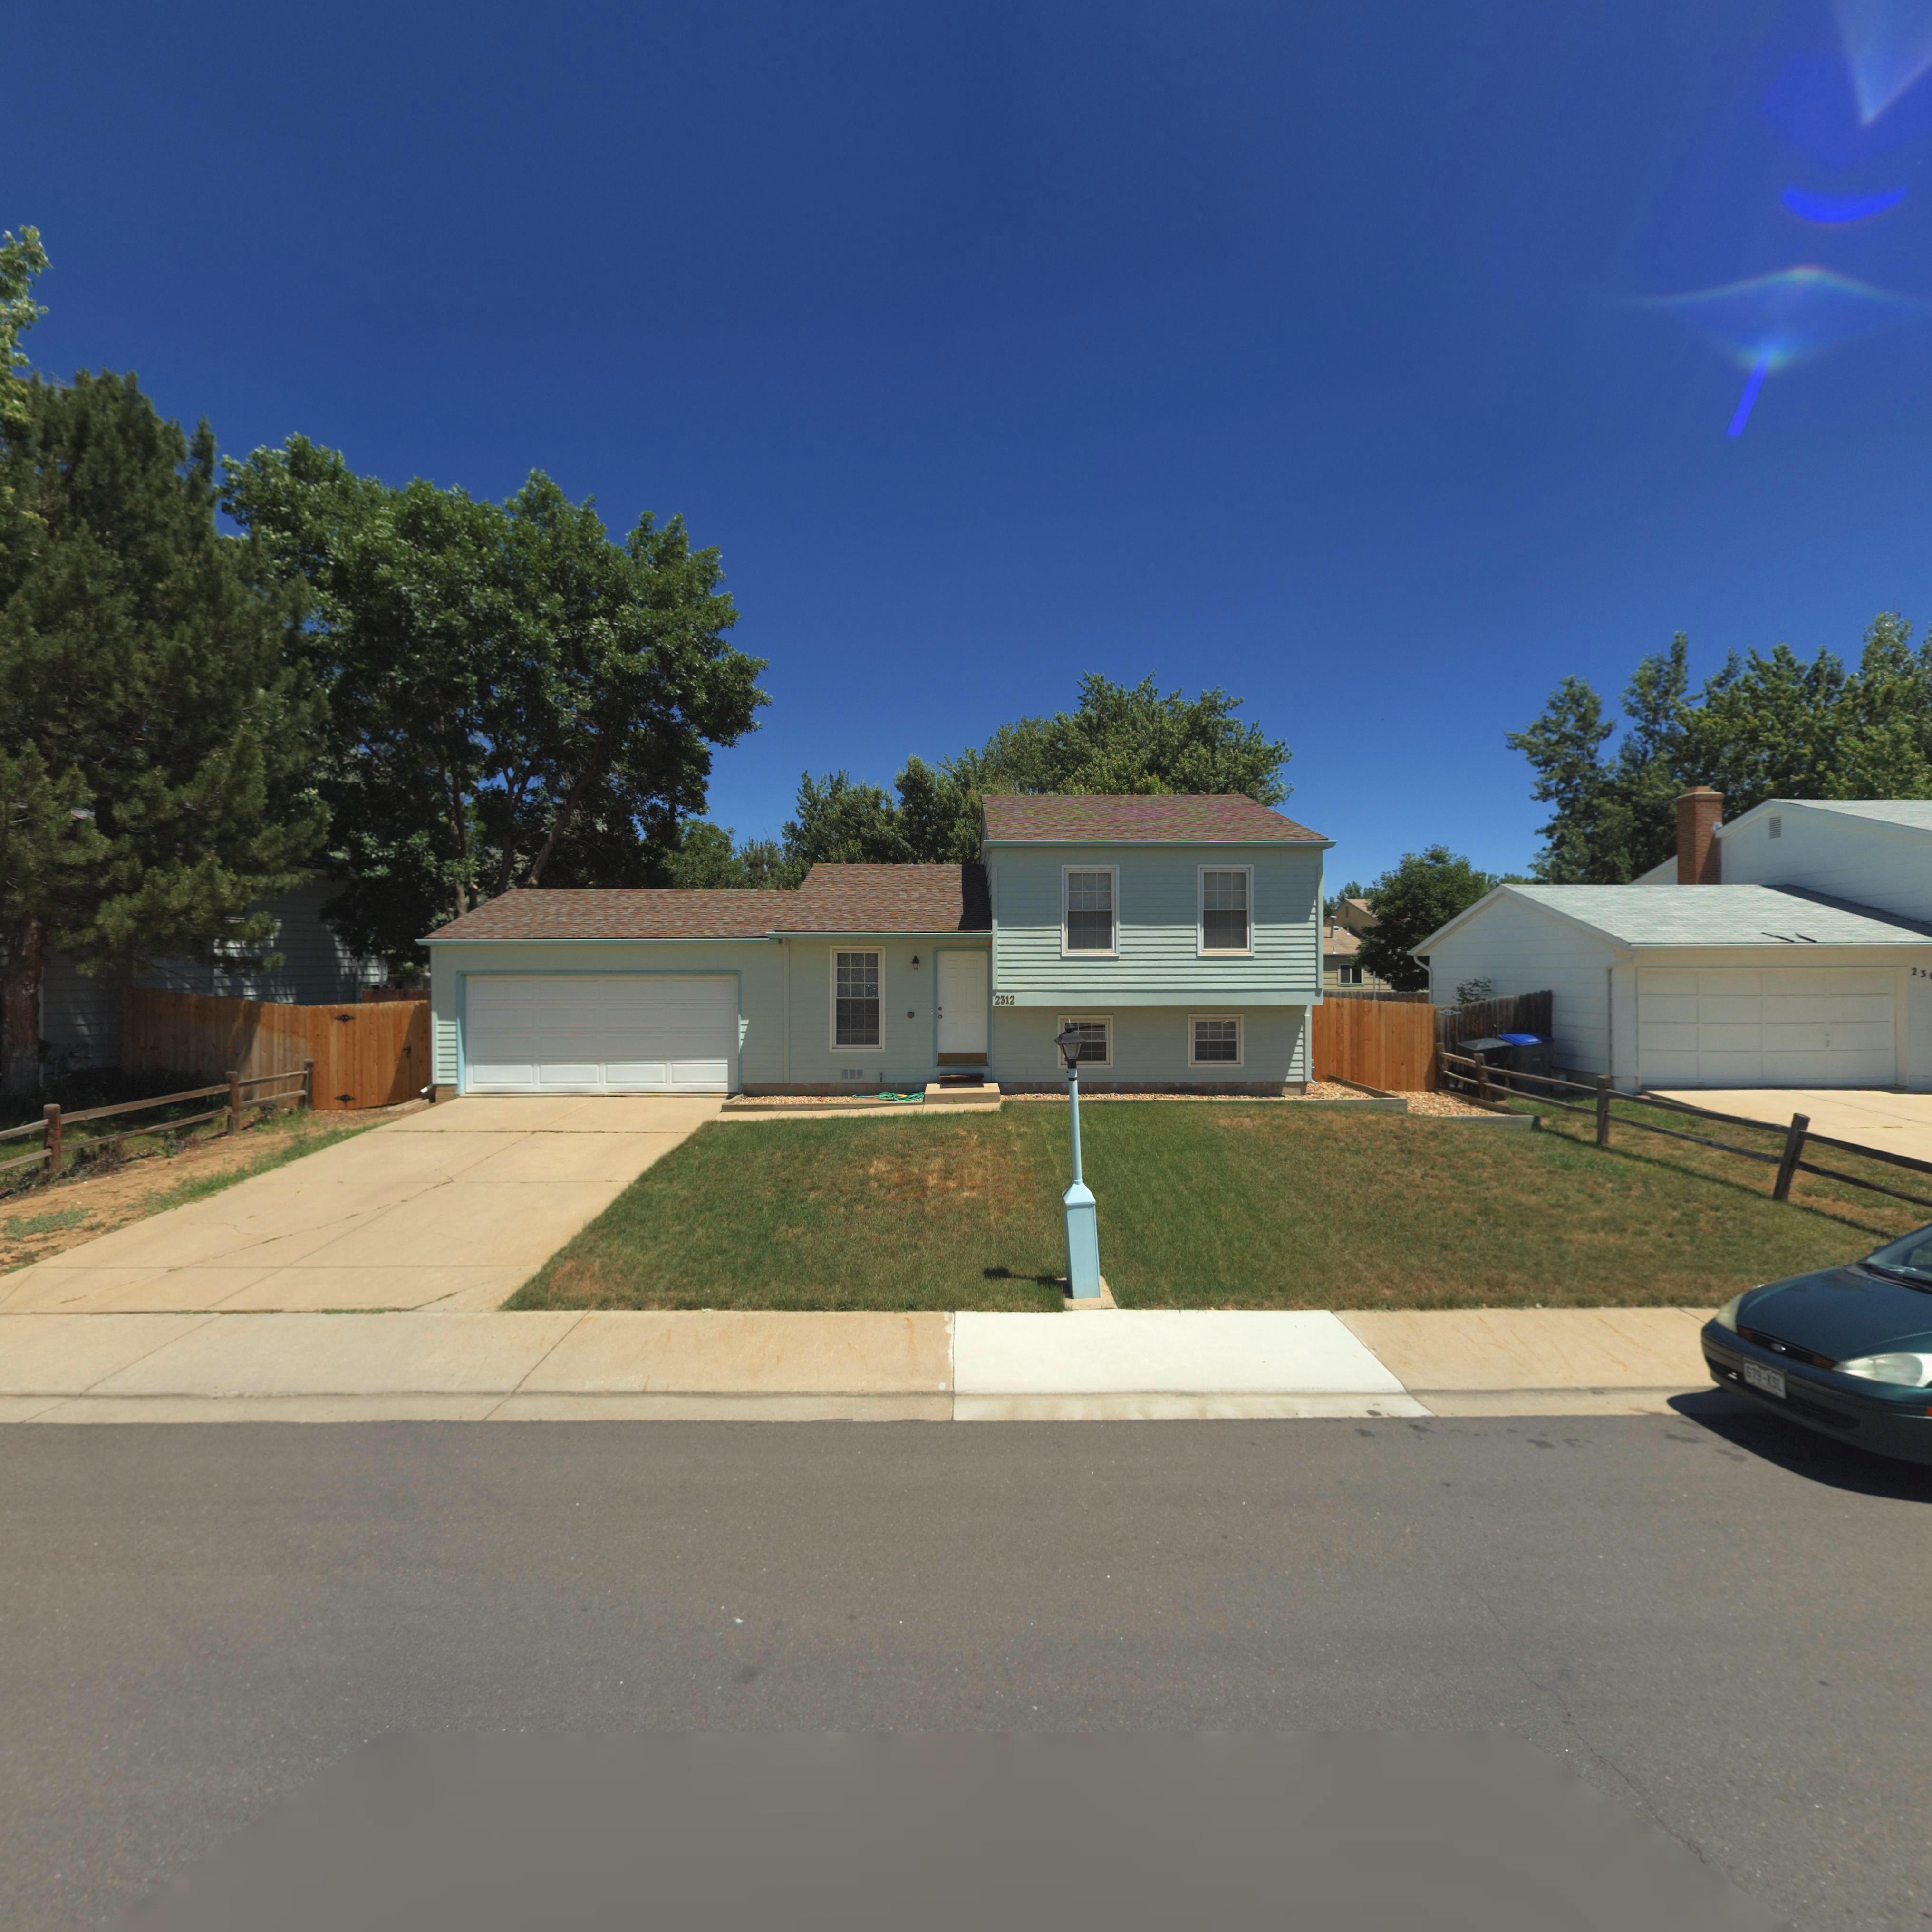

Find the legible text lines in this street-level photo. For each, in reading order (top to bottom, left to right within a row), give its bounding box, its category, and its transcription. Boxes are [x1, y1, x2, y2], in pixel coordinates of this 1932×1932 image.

[1911, 967, 1926, 978] StreetNumber: 23
[995, 995, 1014, 1005] StreetNumber: 2312